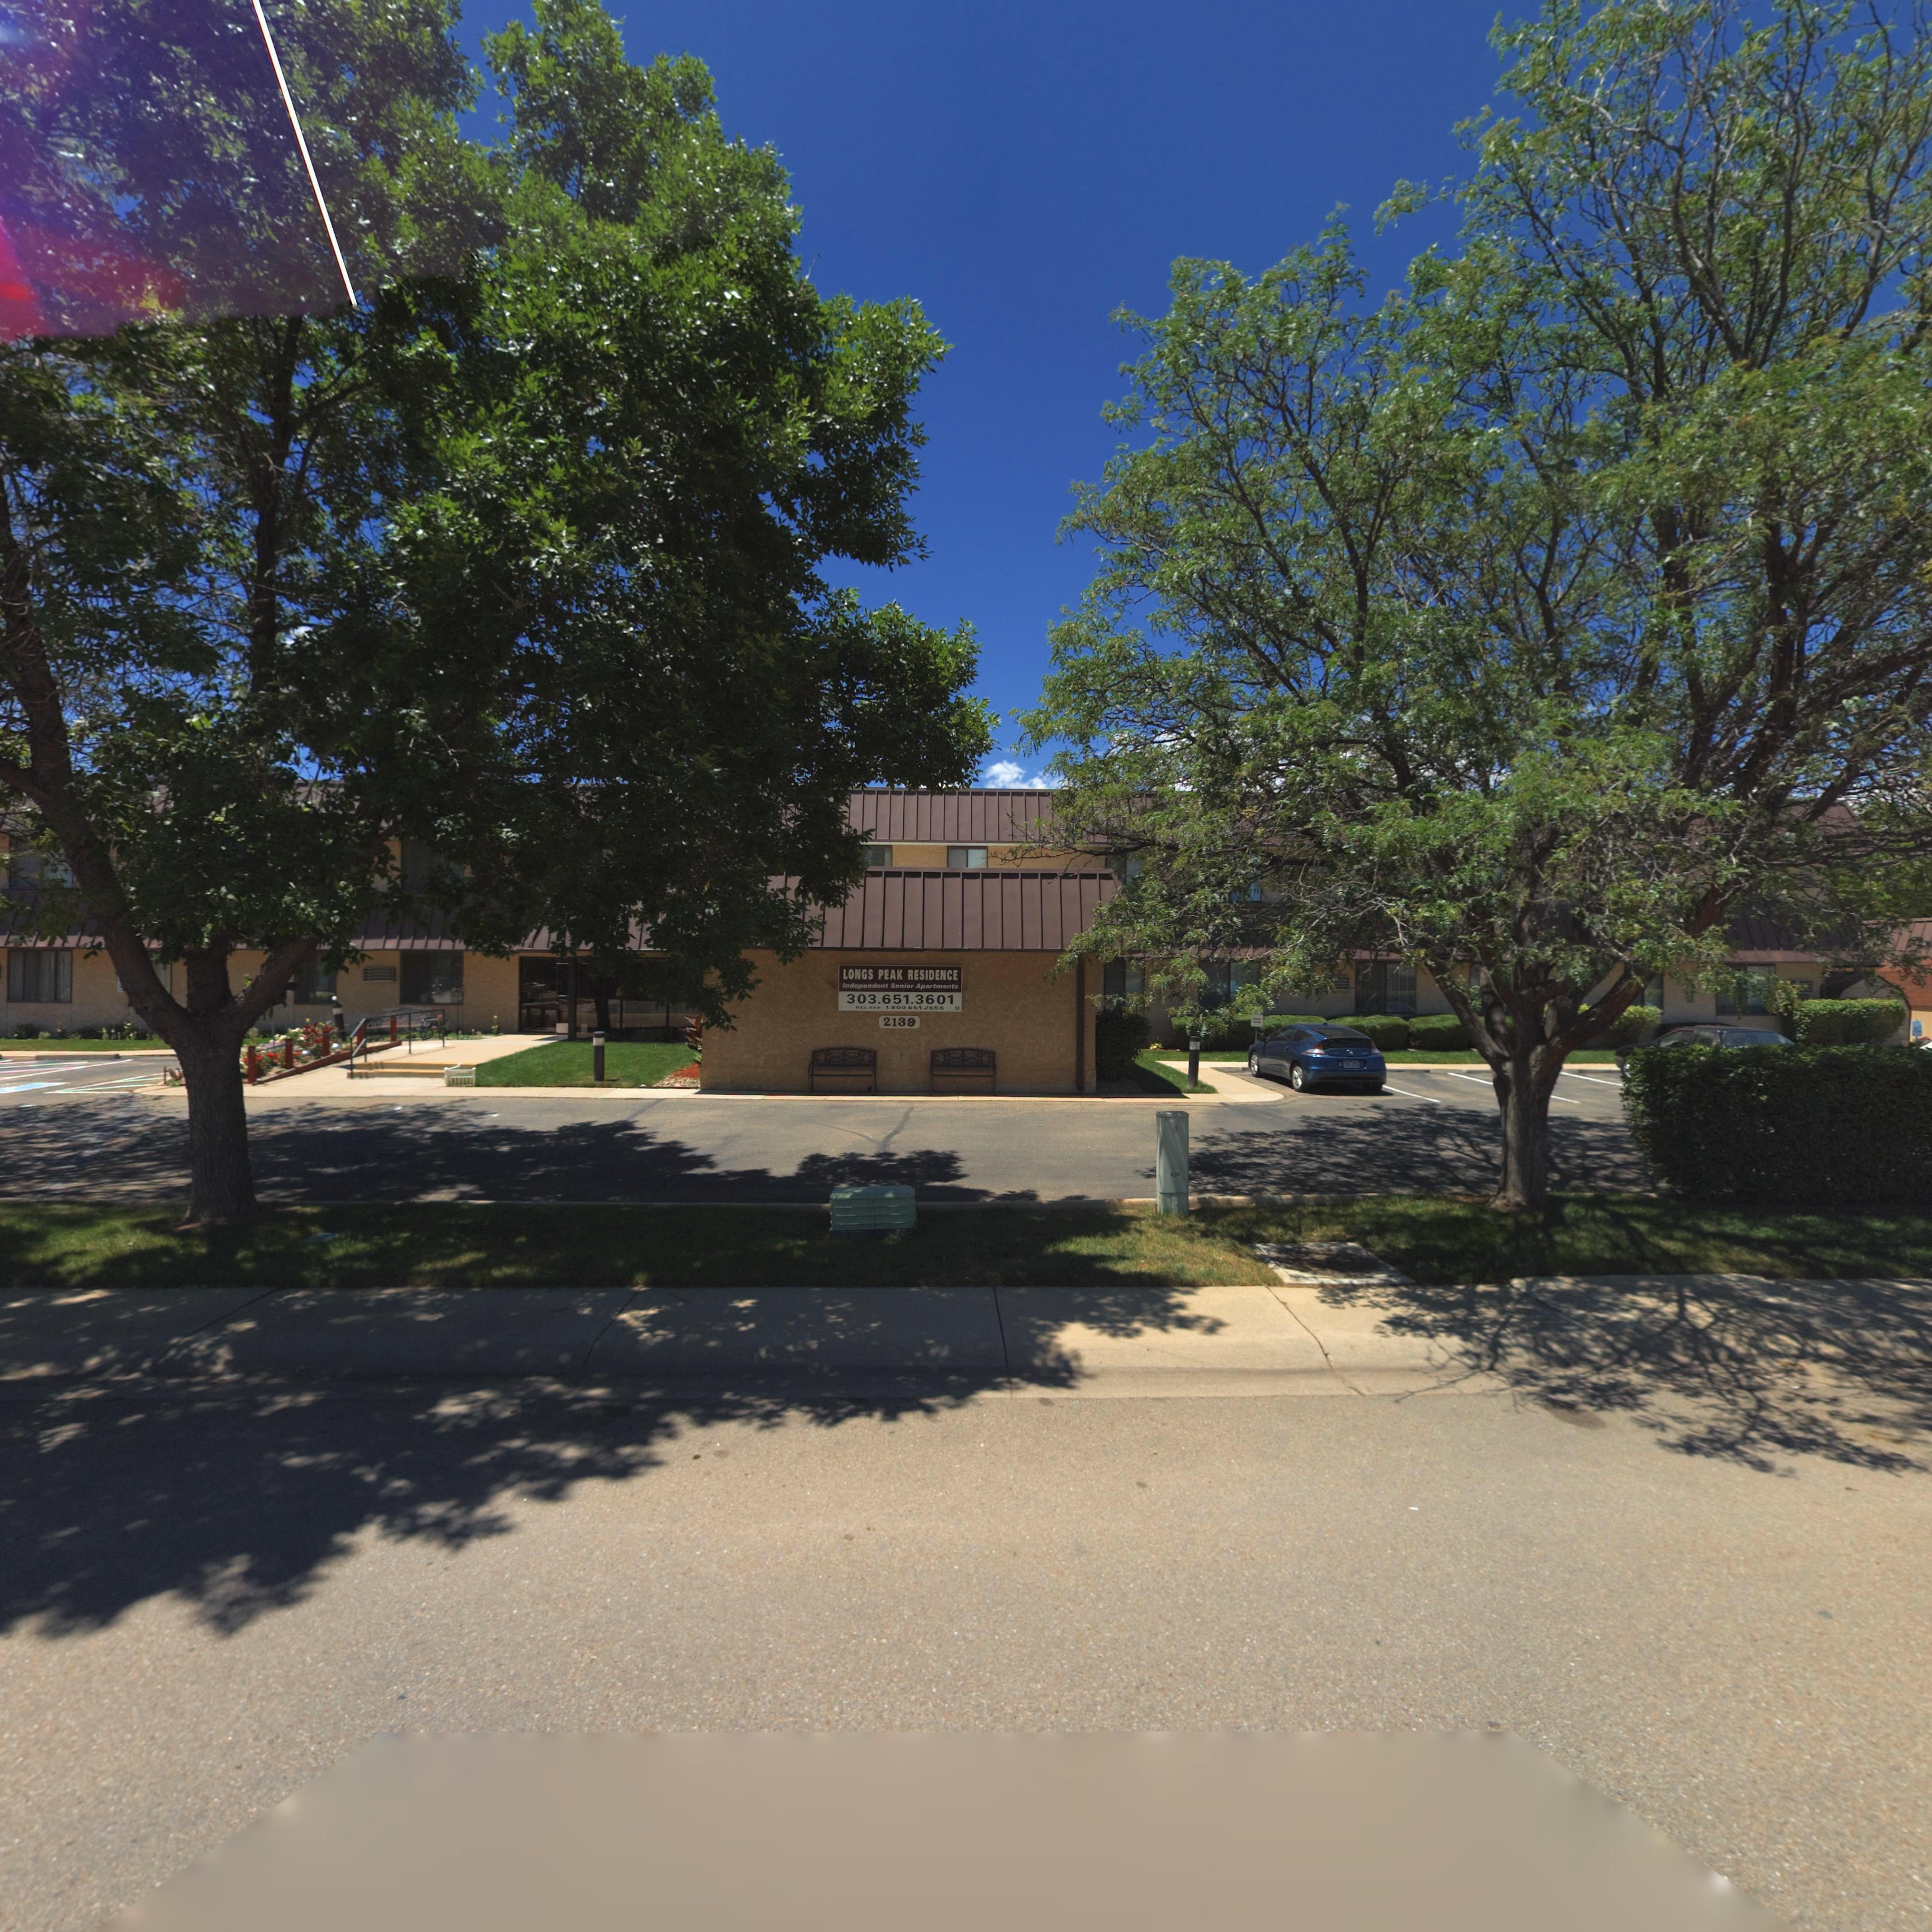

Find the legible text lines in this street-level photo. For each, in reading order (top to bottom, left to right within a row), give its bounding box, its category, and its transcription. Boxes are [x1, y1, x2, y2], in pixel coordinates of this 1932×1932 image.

[841, 968, 959, 981] BusinessName: LONGS PEAK RESIDENCE
[882, 1016, 917, 1027] StreetNumber: 2139